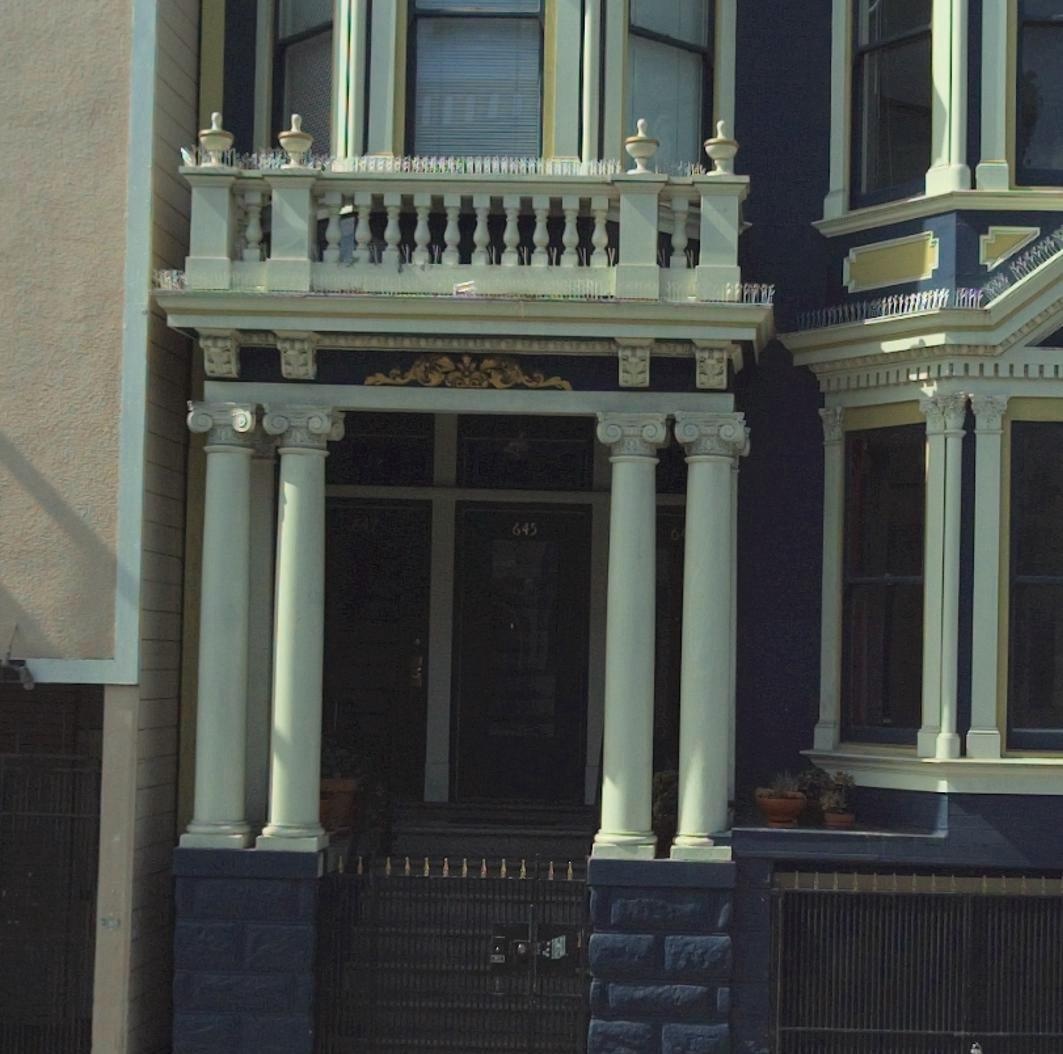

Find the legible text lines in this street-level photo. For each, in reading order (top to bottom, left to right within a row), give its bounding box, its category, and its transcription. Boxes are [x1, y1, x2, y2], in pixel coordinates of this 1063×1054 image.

[510, 519, 541, 539] StreetNumber: 645
[668, 522, 682, 544] StreetNumber: 6